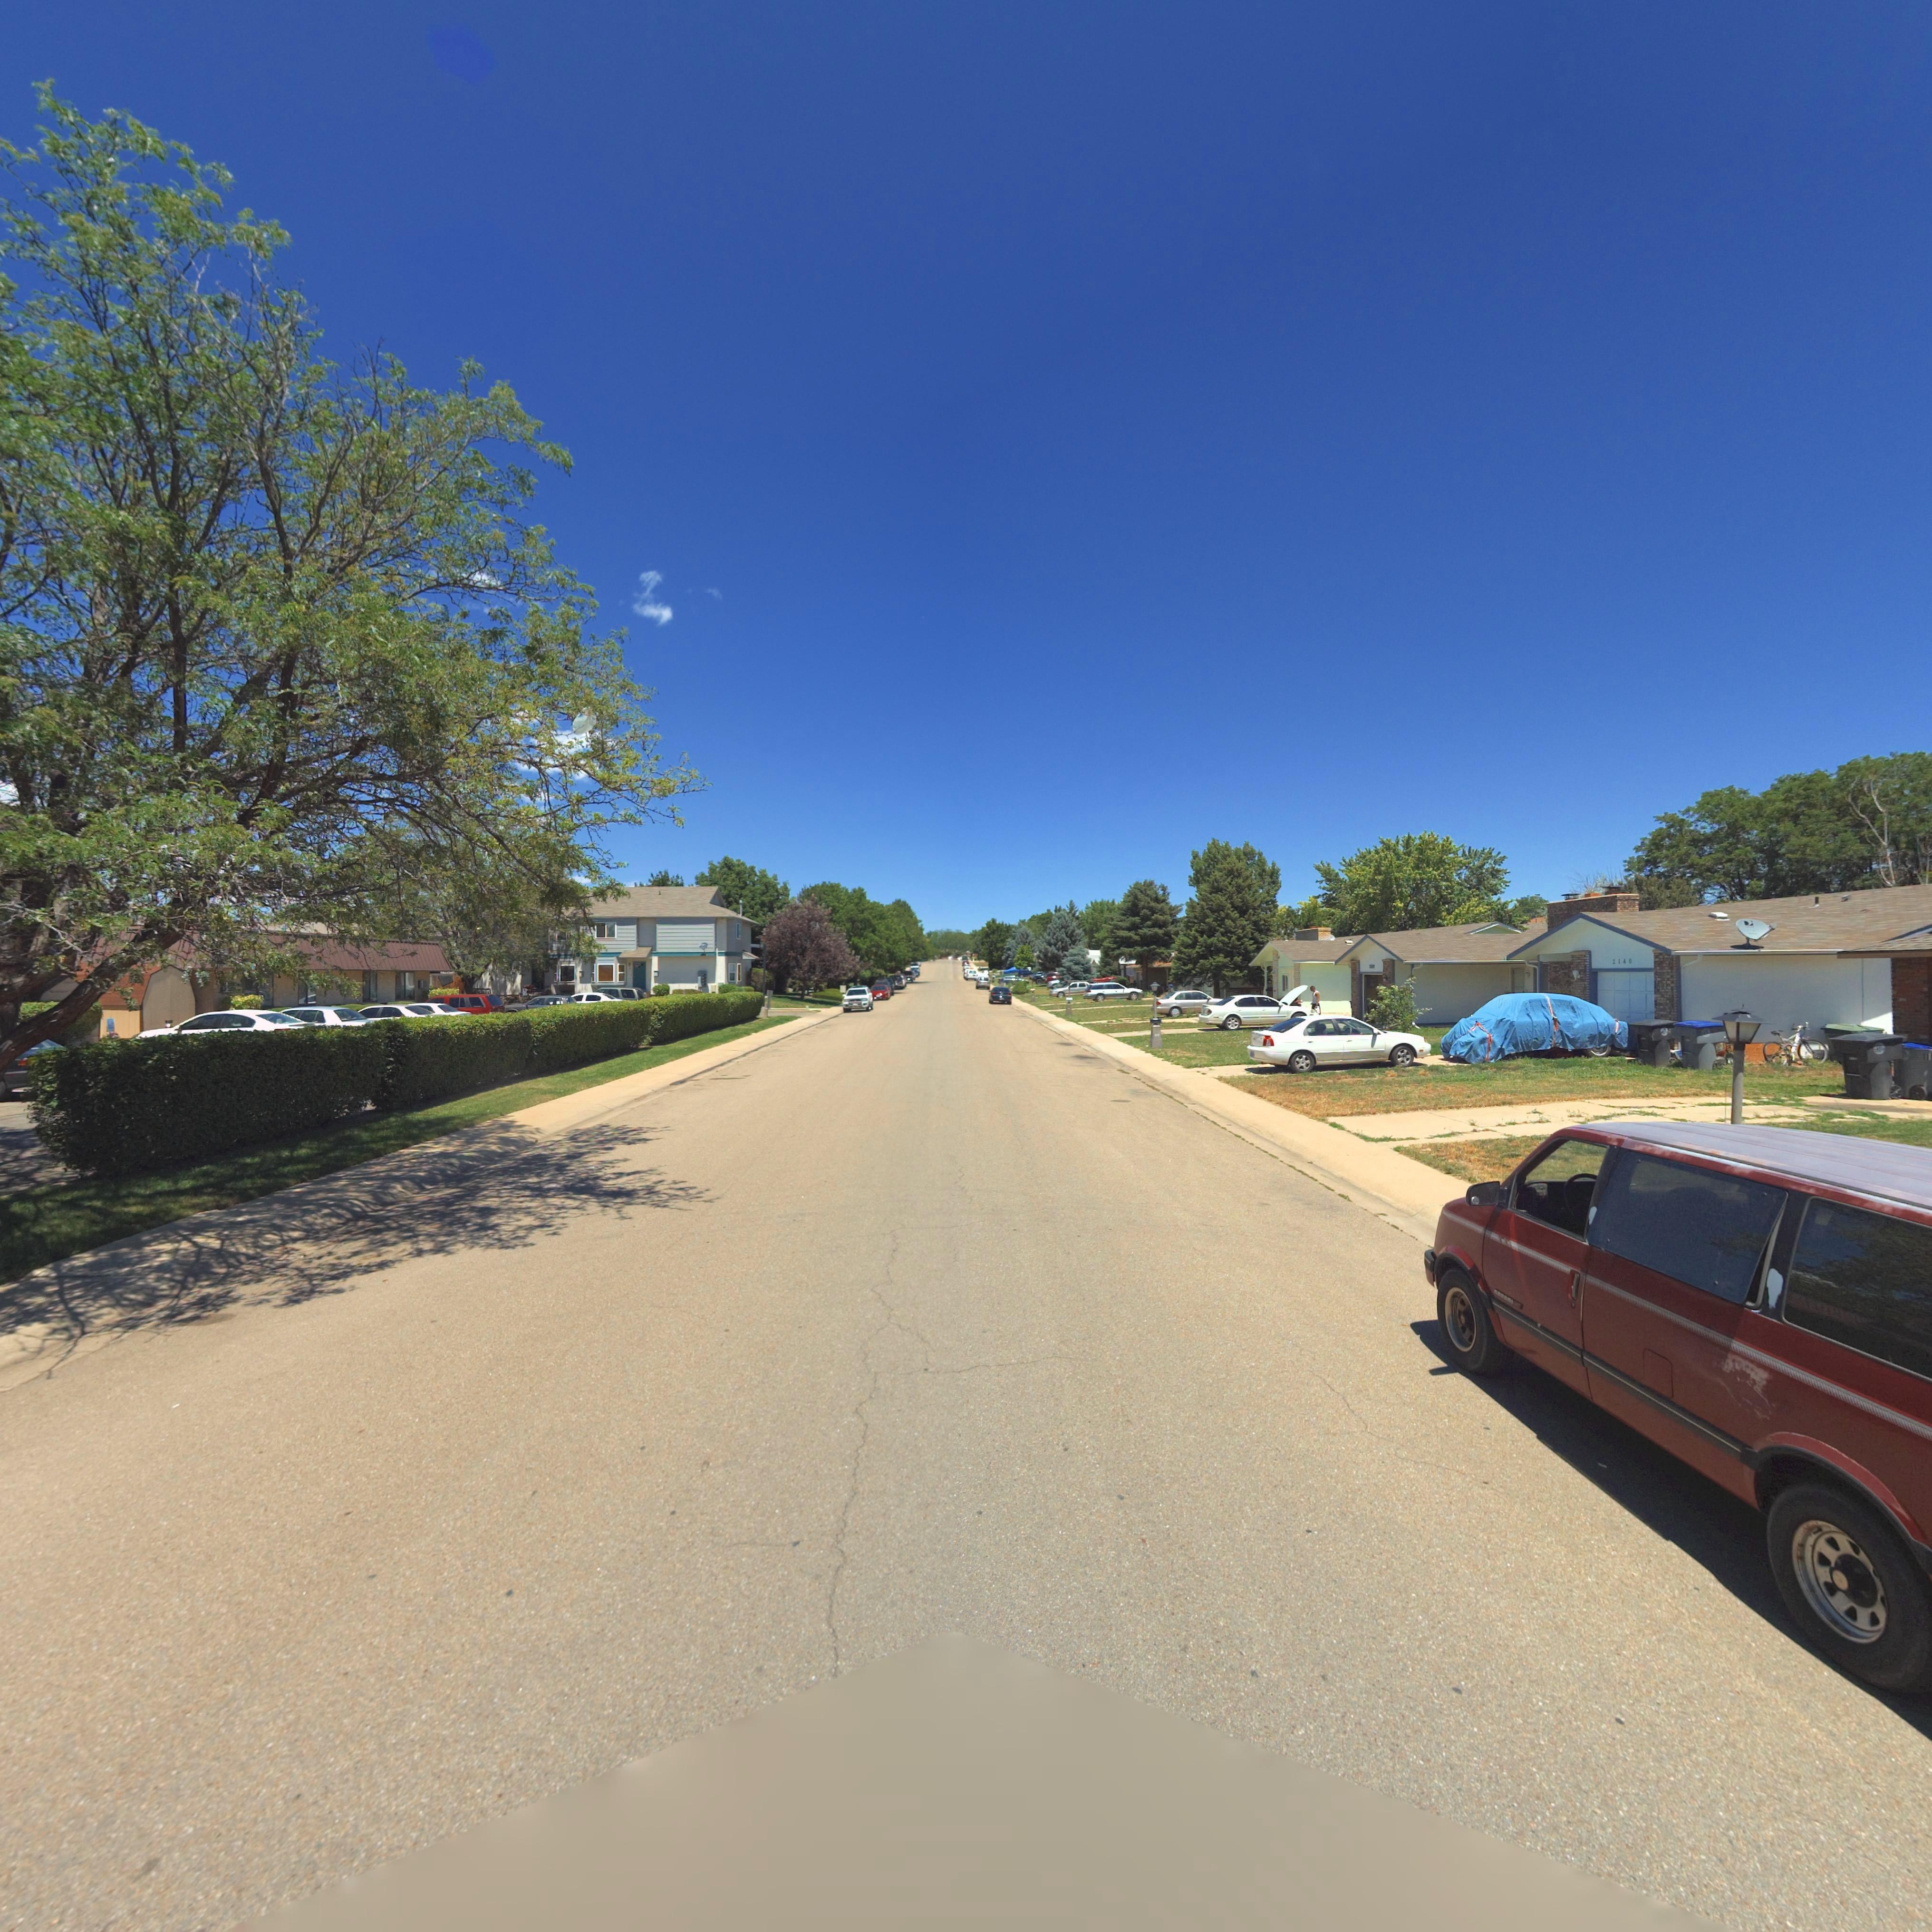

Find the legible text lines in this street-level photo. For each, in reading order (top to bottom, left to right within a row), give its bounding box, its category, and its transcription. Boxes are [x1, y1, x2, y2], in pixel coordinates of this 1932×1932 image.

[1611, 957, 1633, 965] StreetNumber: 2140